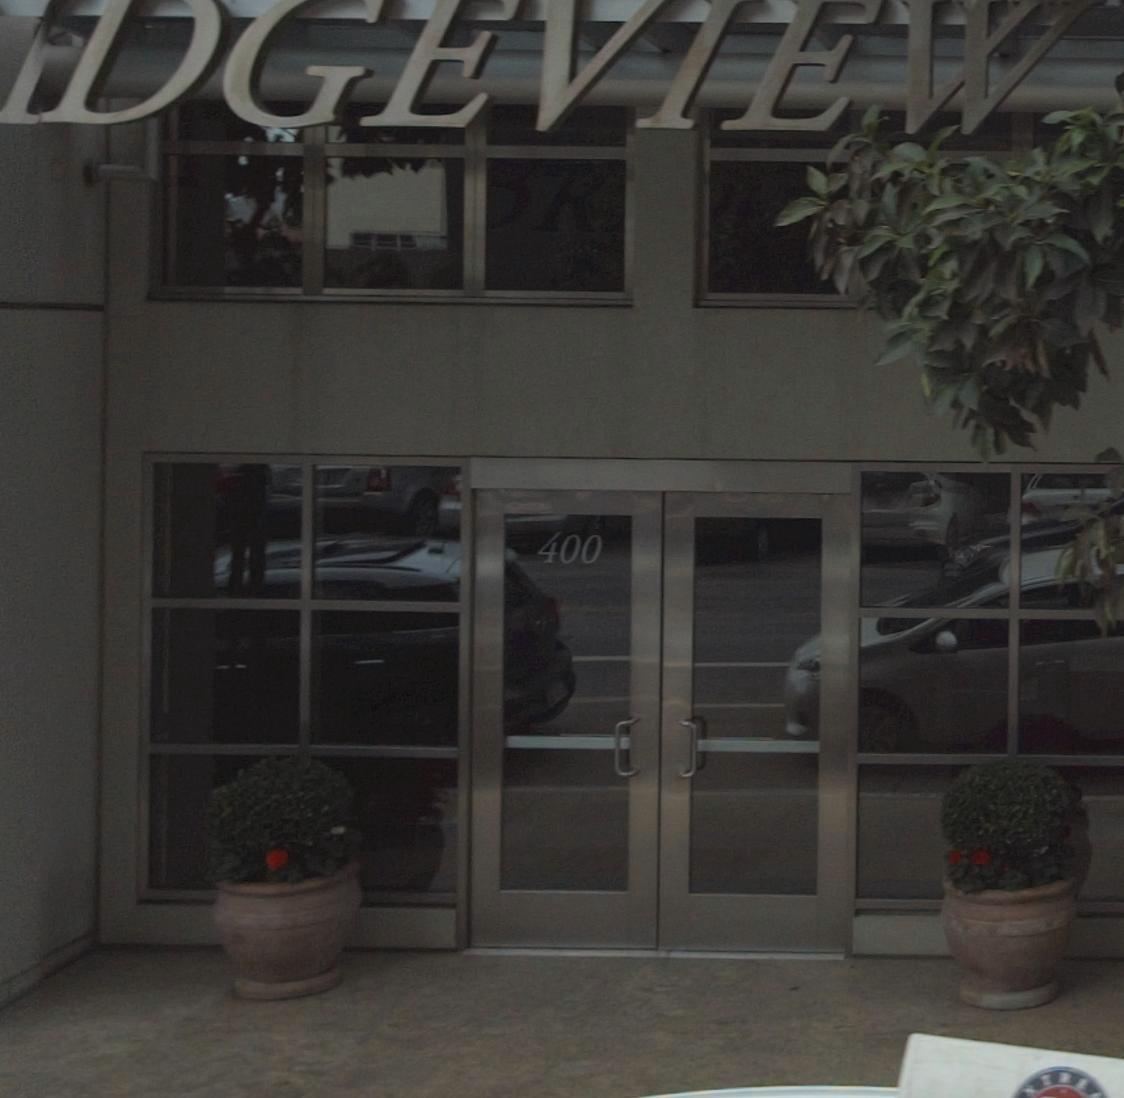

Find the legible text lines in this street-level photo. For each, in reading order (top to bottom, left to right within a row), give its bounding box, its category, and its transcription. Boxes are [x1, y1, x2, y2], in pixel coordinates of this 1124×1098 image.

[535, 529, 606, 566] StreetNumber: 400